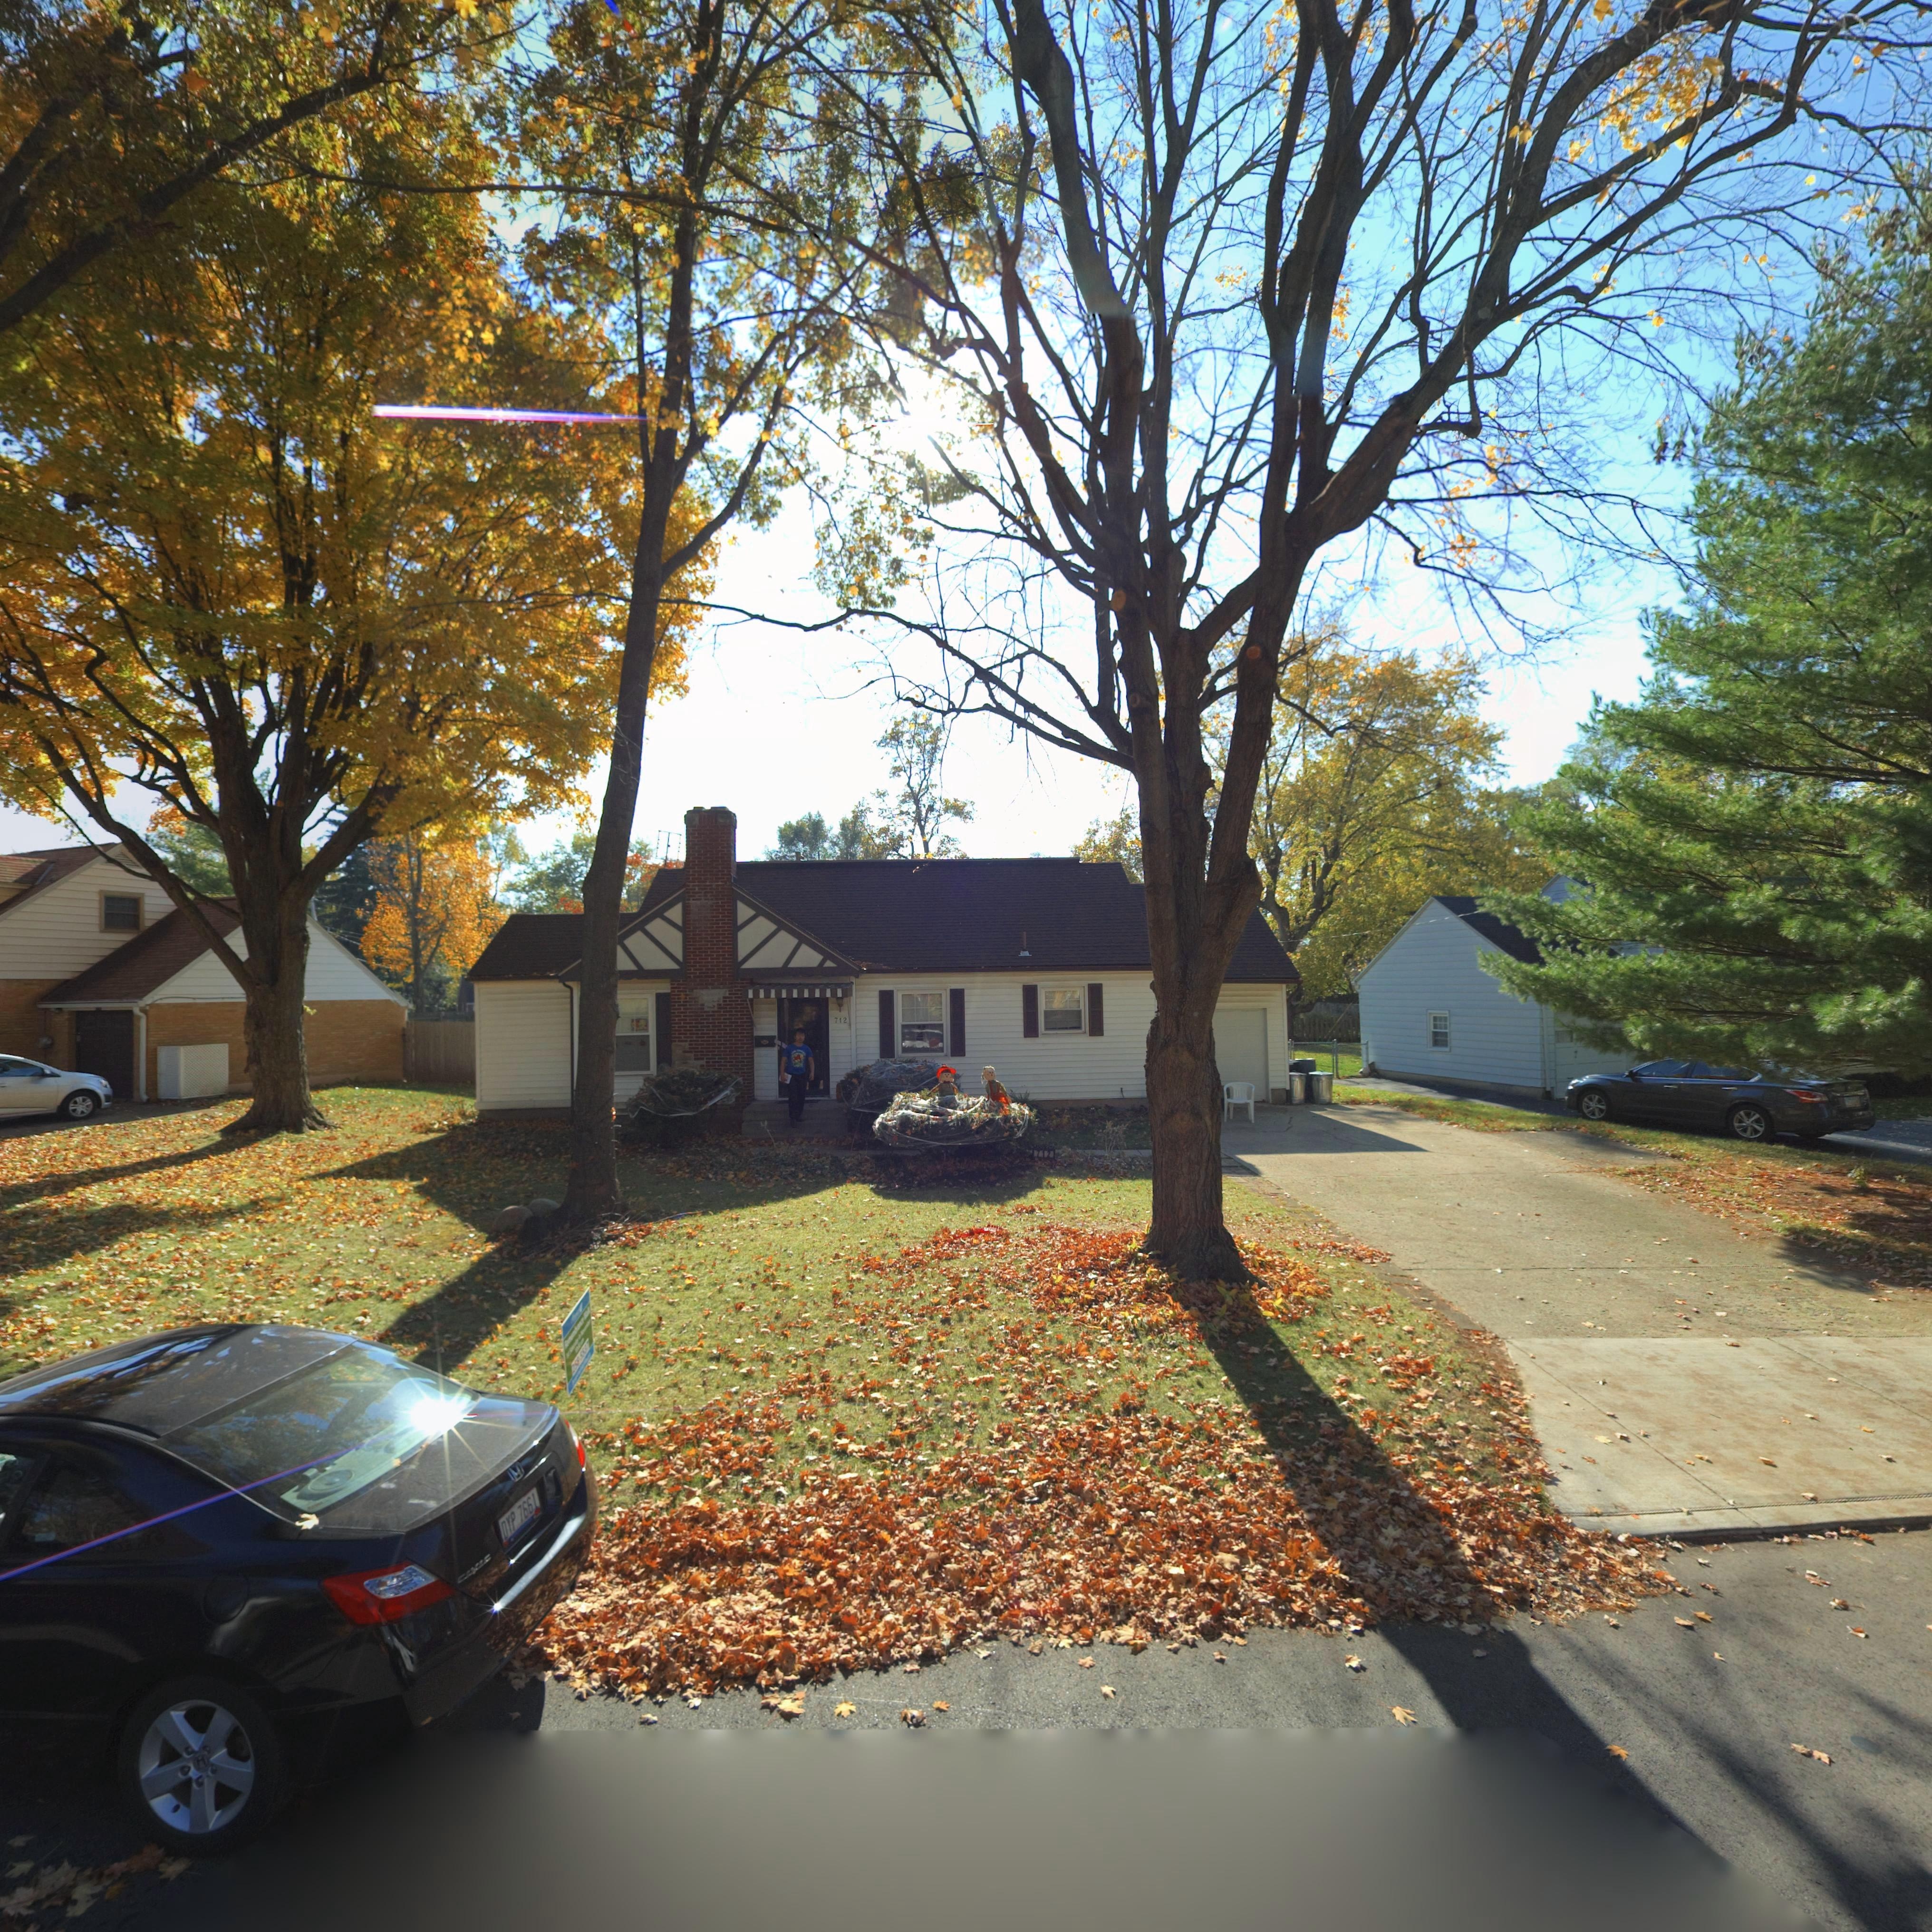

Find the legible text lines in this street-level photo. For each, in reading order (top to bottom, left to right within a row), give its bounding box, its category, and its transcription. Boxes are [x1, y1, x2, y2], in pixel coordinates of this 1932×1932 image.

[834, 1016, 848, 1024] StreetNumber: 712